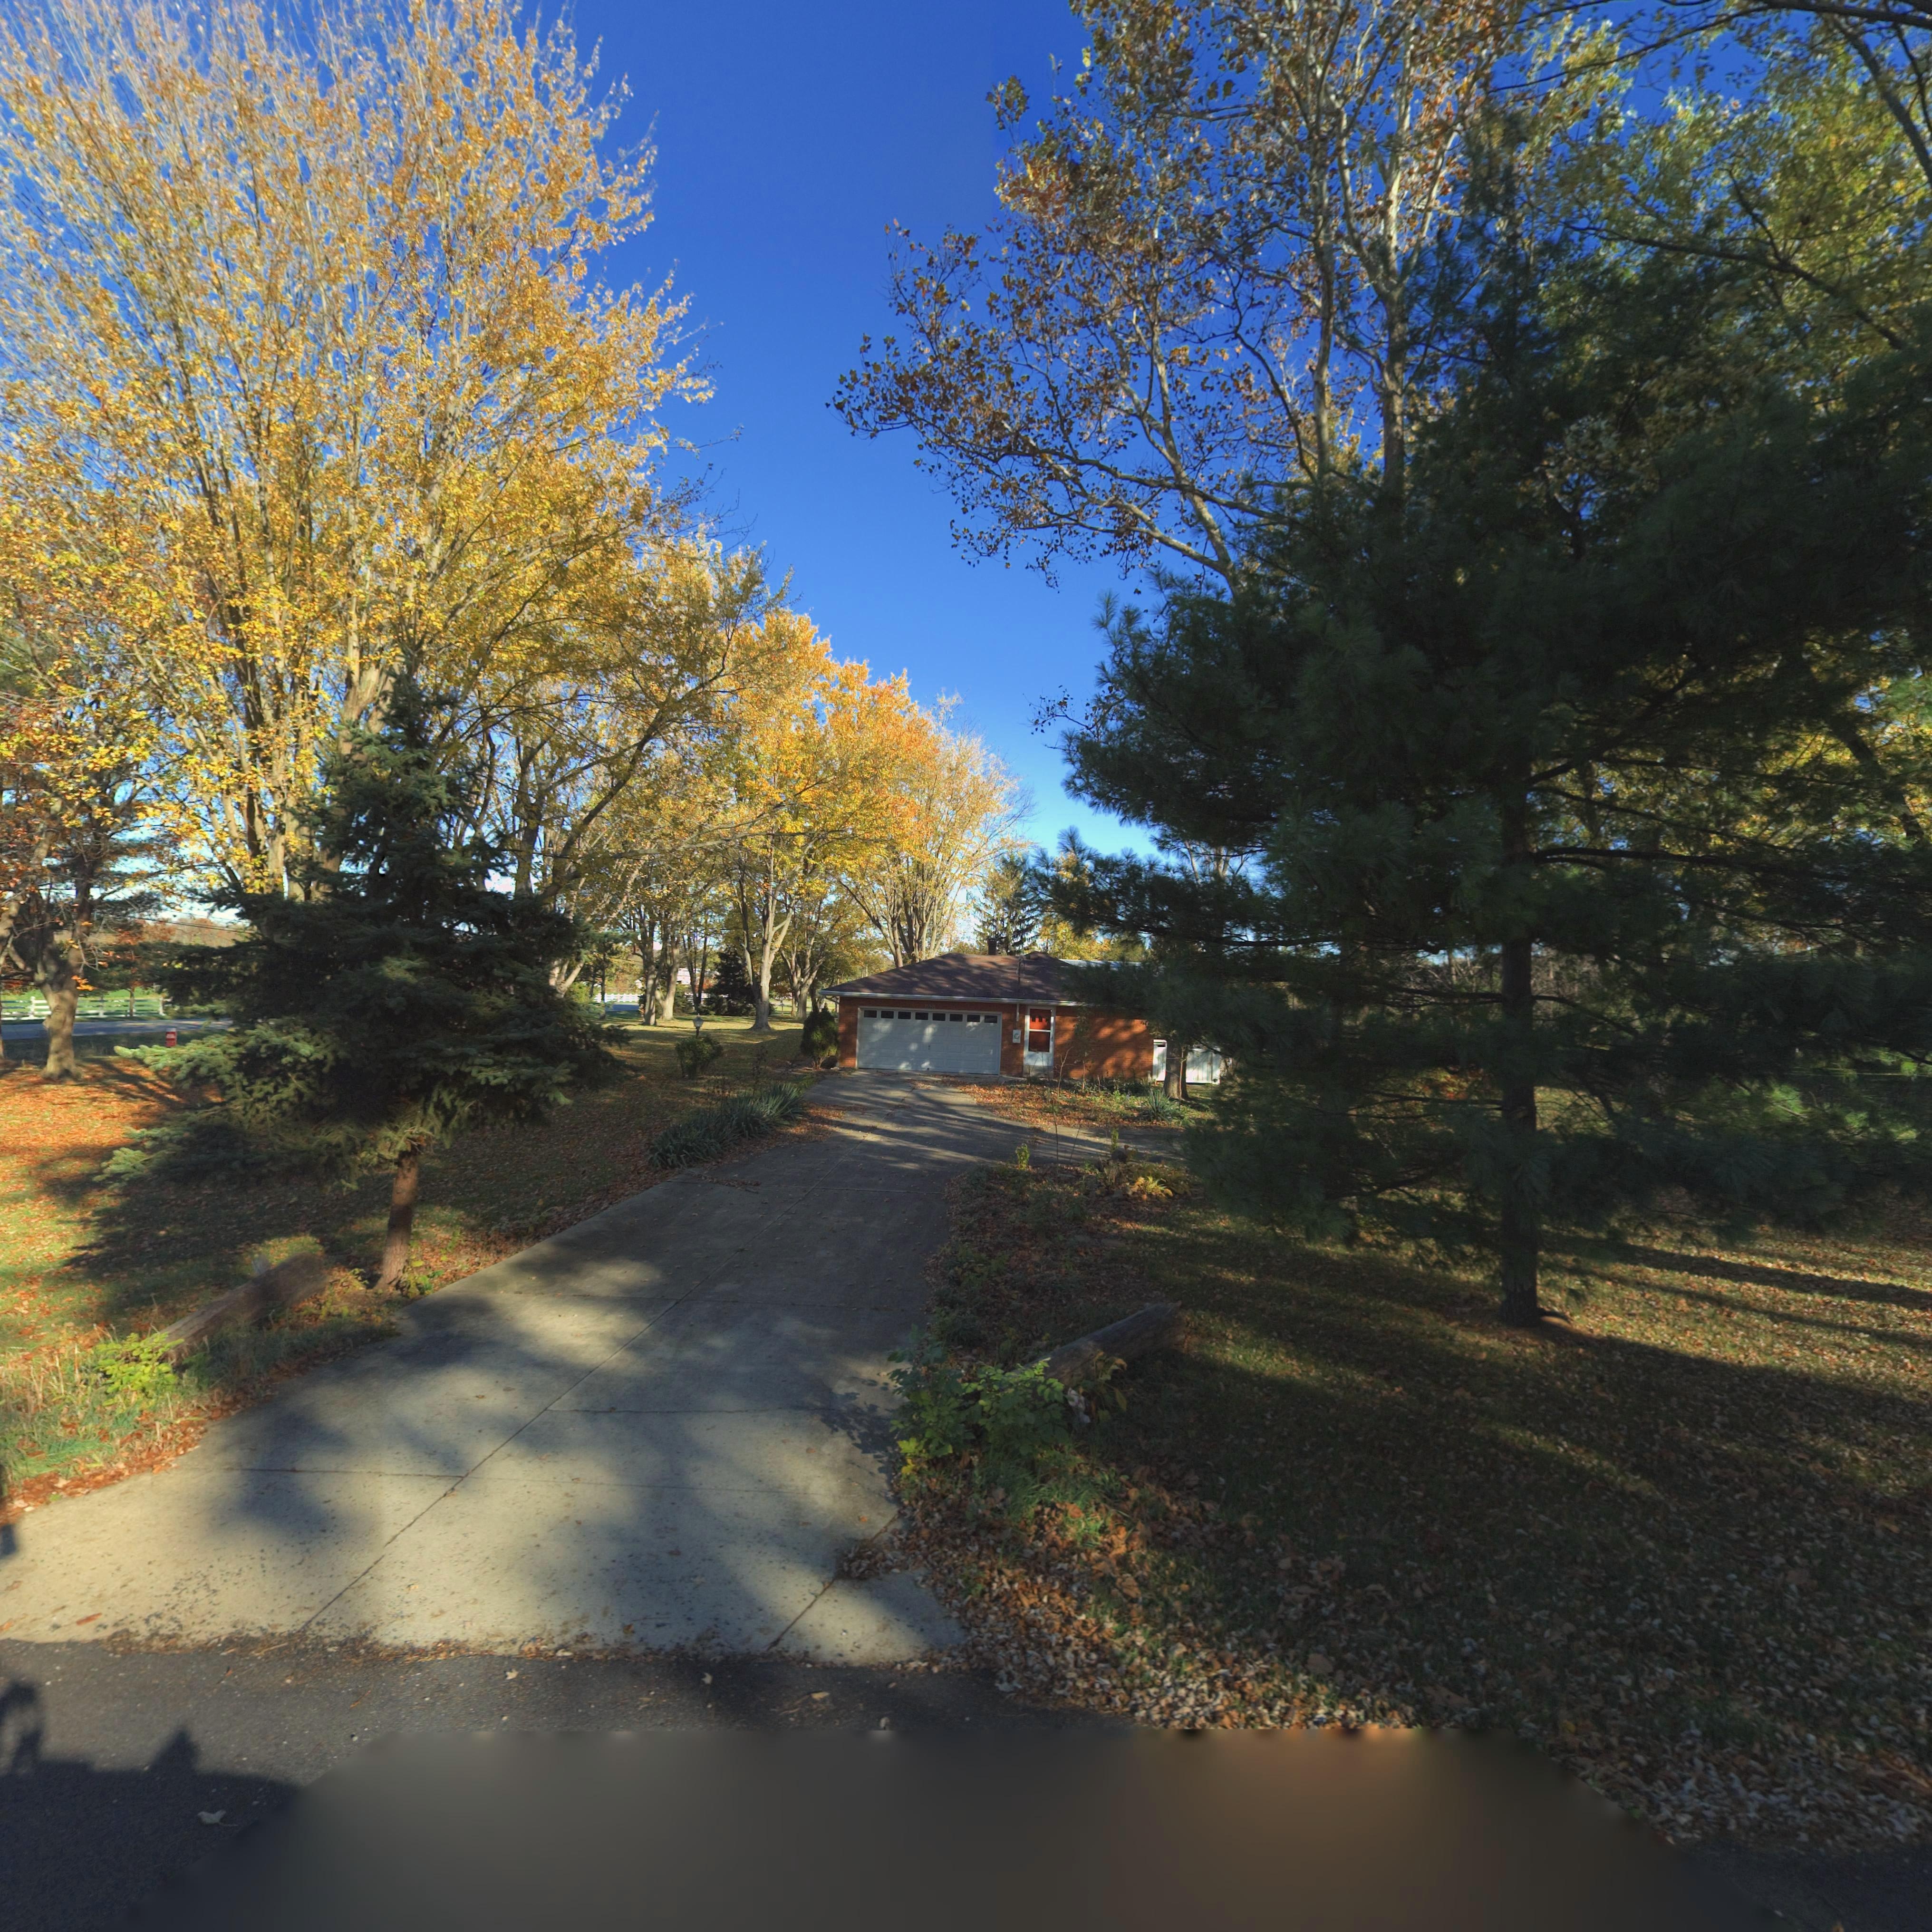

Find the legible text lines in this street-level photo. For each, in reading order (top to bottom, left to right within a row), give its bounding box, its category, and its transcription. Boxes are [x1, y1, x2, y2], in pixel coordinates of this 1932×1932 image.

[925, 1004, 935, 1009] StreetNumber: 102*